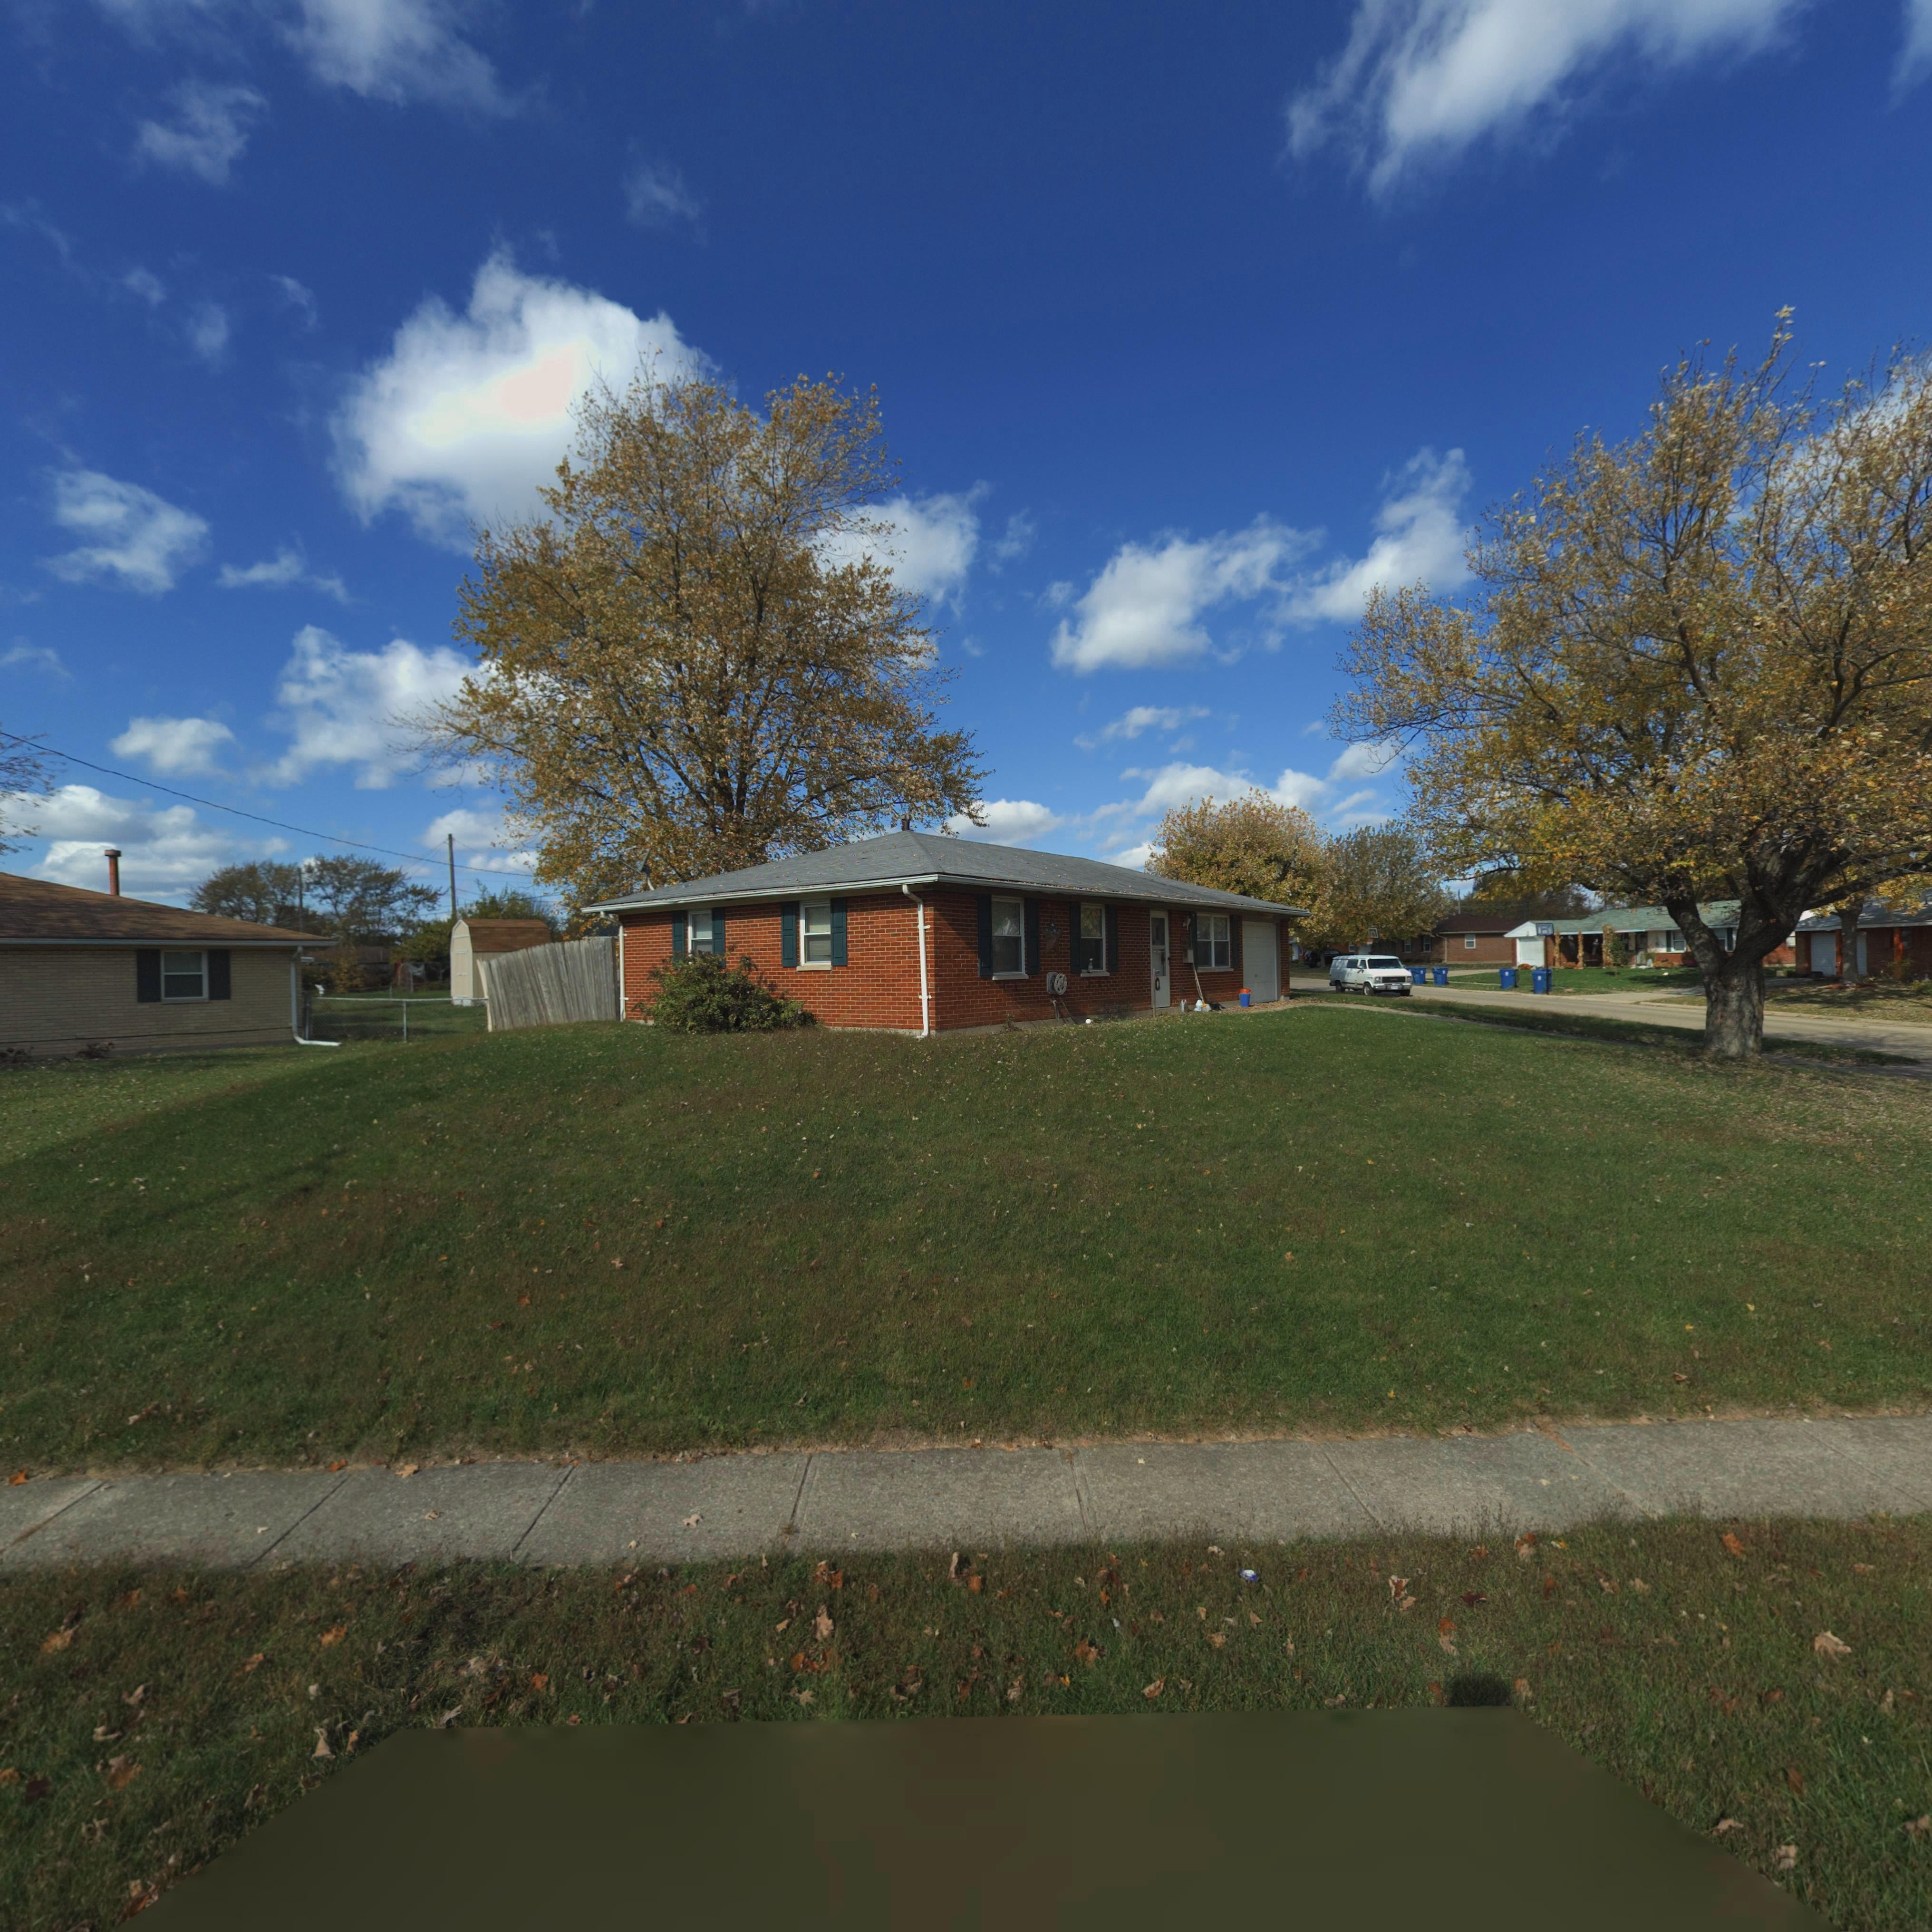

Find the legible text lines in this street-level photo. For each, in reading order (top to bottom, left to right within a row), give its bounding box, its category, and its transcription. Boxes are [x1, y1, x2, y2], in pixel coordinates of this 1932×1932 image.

[1180, 935, 1189, 941] StreetNumber: 7**9